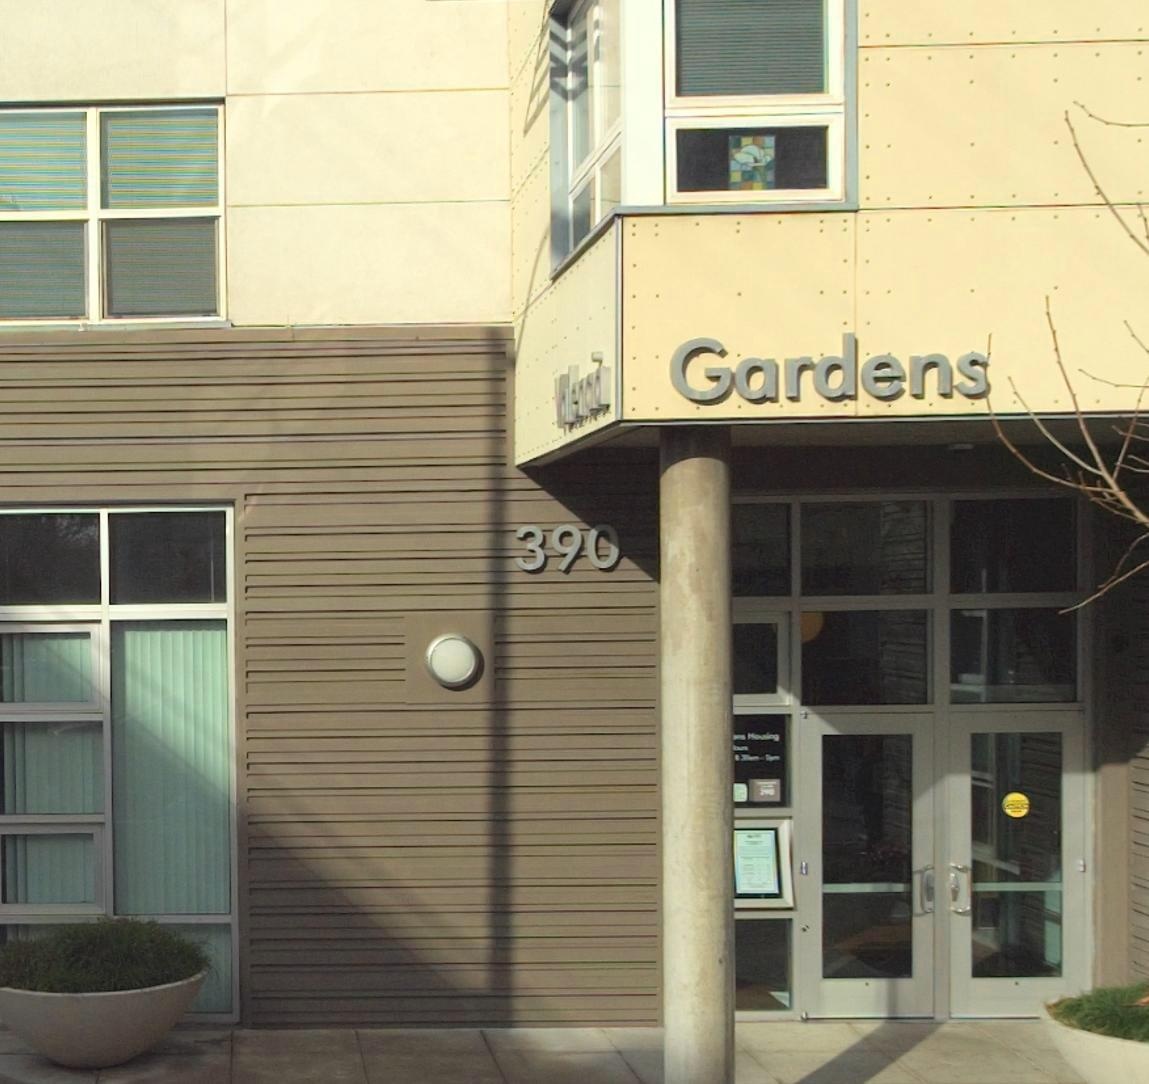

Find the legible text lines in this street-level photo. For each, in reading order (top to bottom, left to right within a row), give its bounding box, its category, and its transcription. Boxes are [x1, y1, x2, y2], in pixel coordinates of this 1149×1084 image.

[667, 330, 990, 403] BusinessName: Gardens
[515, 523, 620, 573] StreetNumber: 390